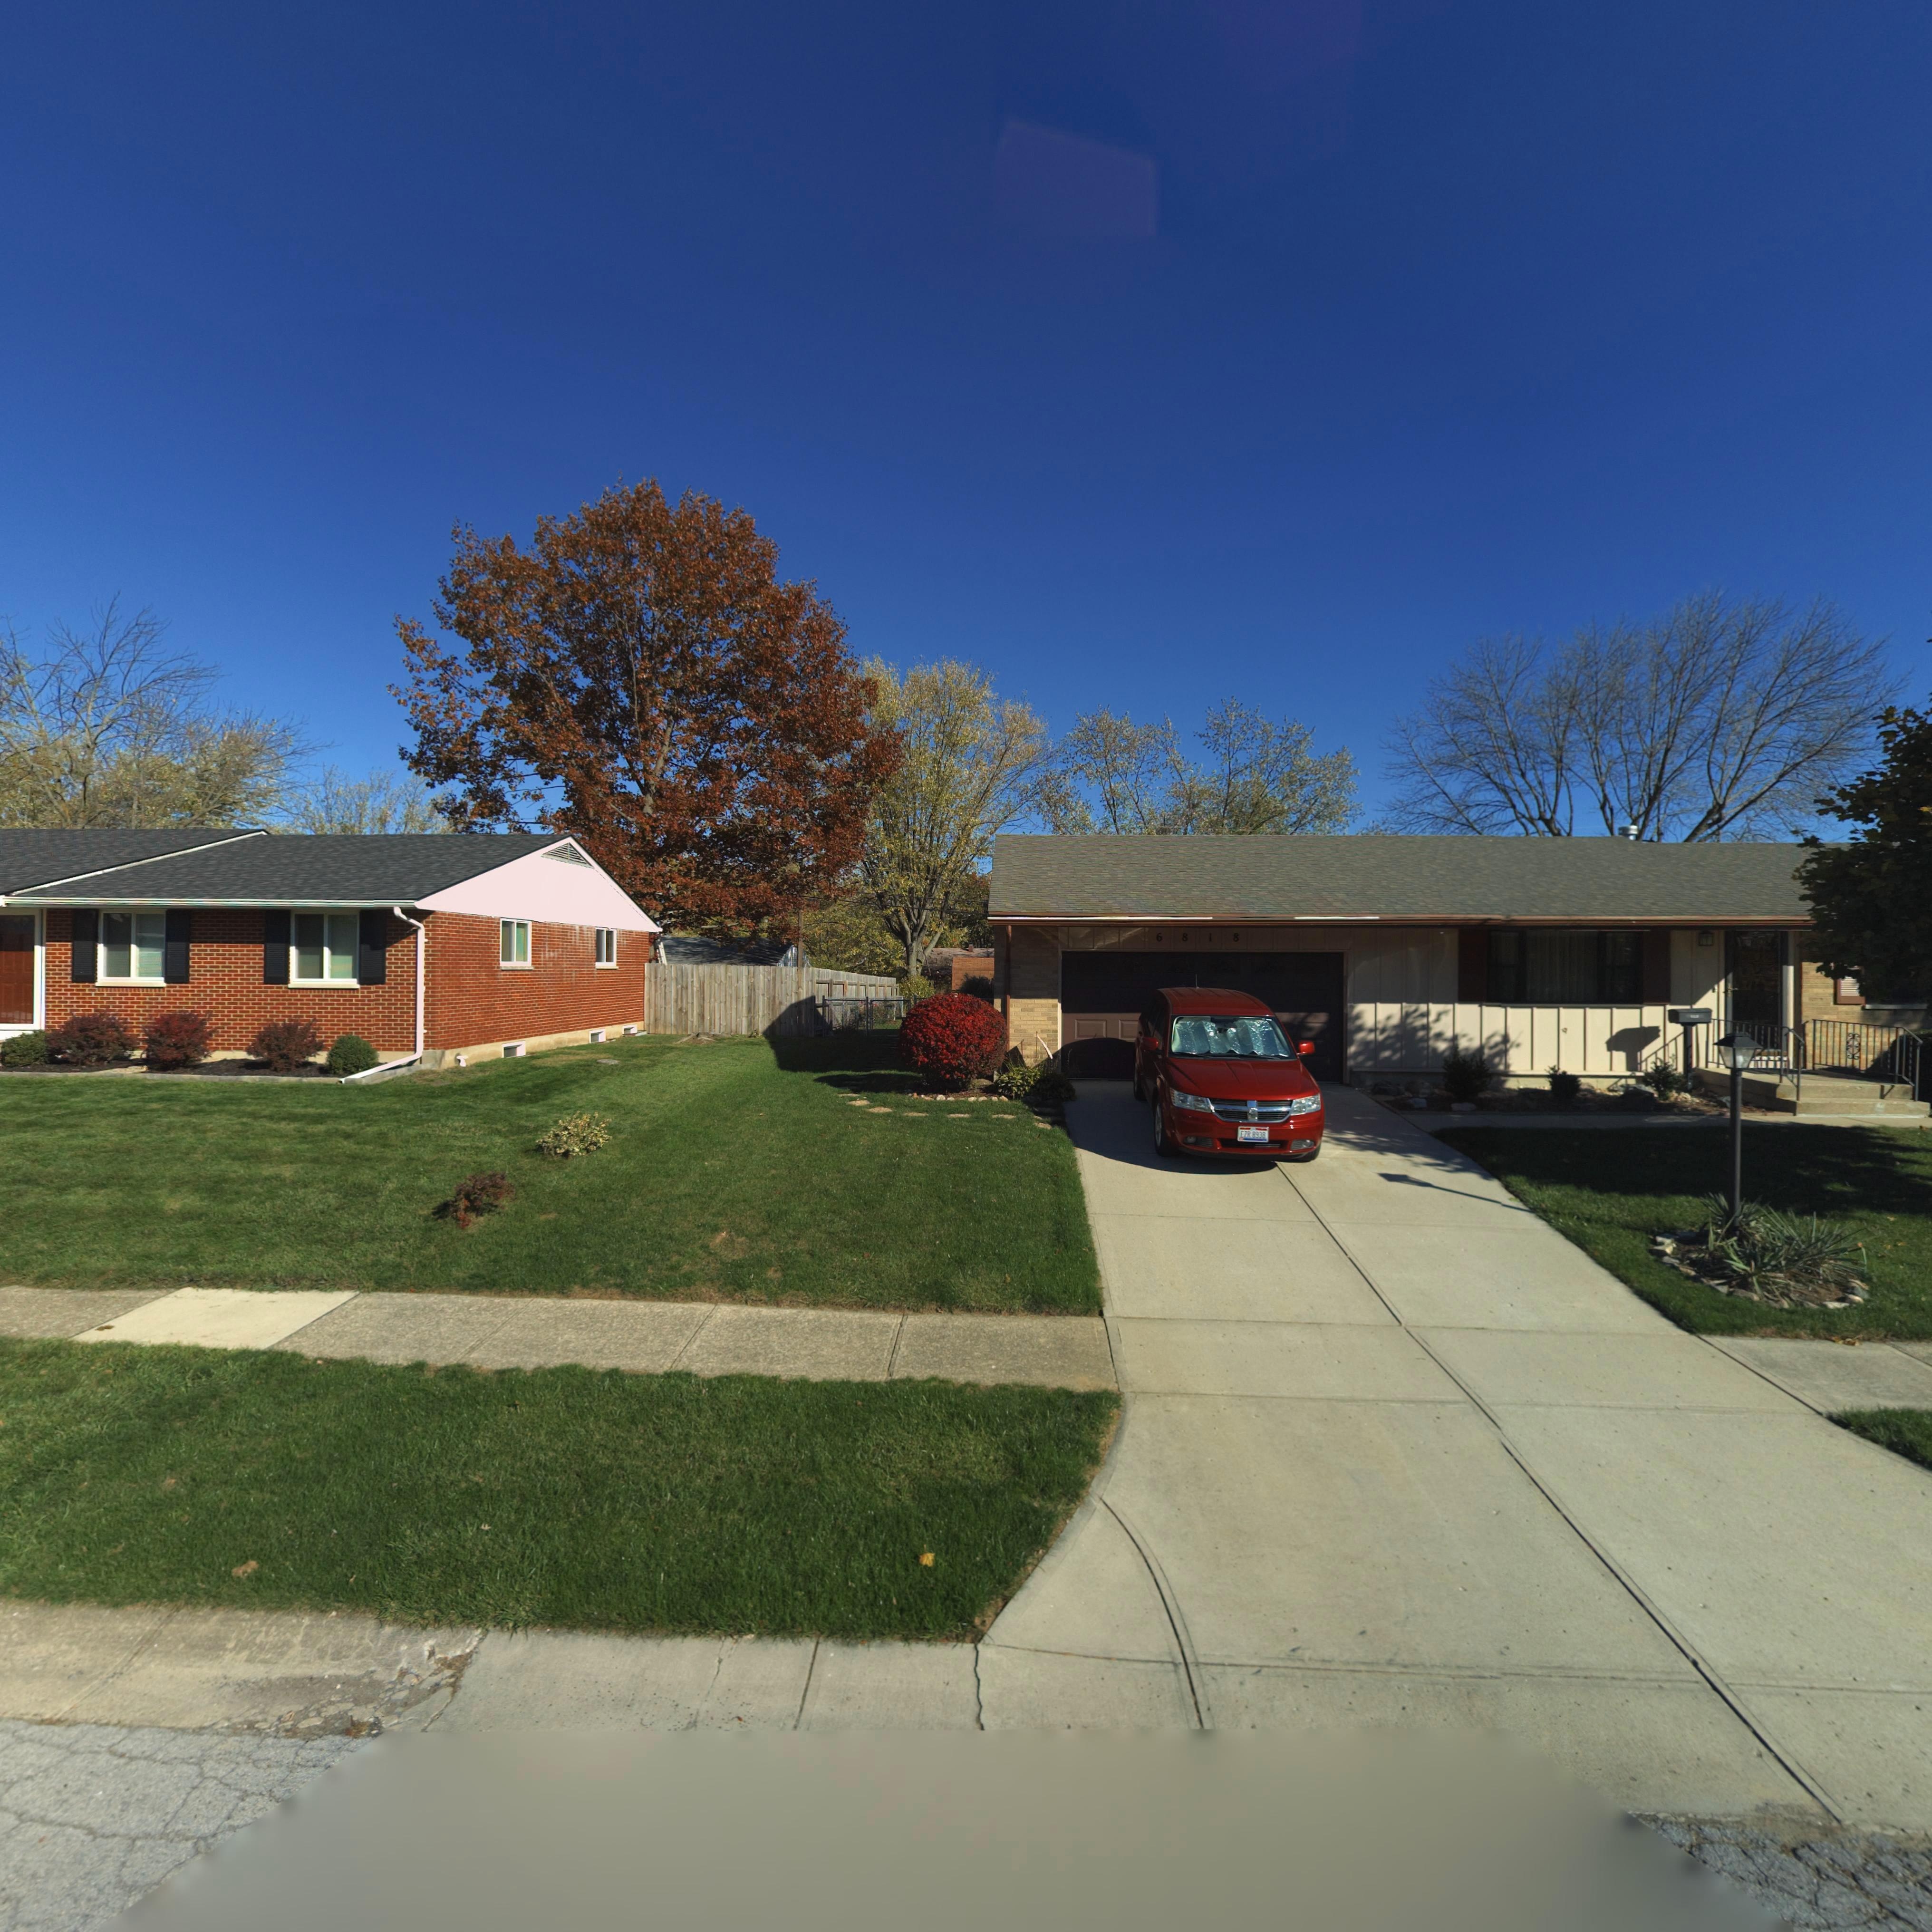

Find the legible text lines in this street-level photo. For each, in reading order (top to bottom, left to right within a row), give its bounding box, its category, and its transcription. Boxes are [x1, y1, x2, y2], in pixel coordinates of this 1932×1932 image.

[1156, 932, 1239, 942] StreetNumber: 6818
[1240, 1130, 1266, 1139] None: EZR*8938